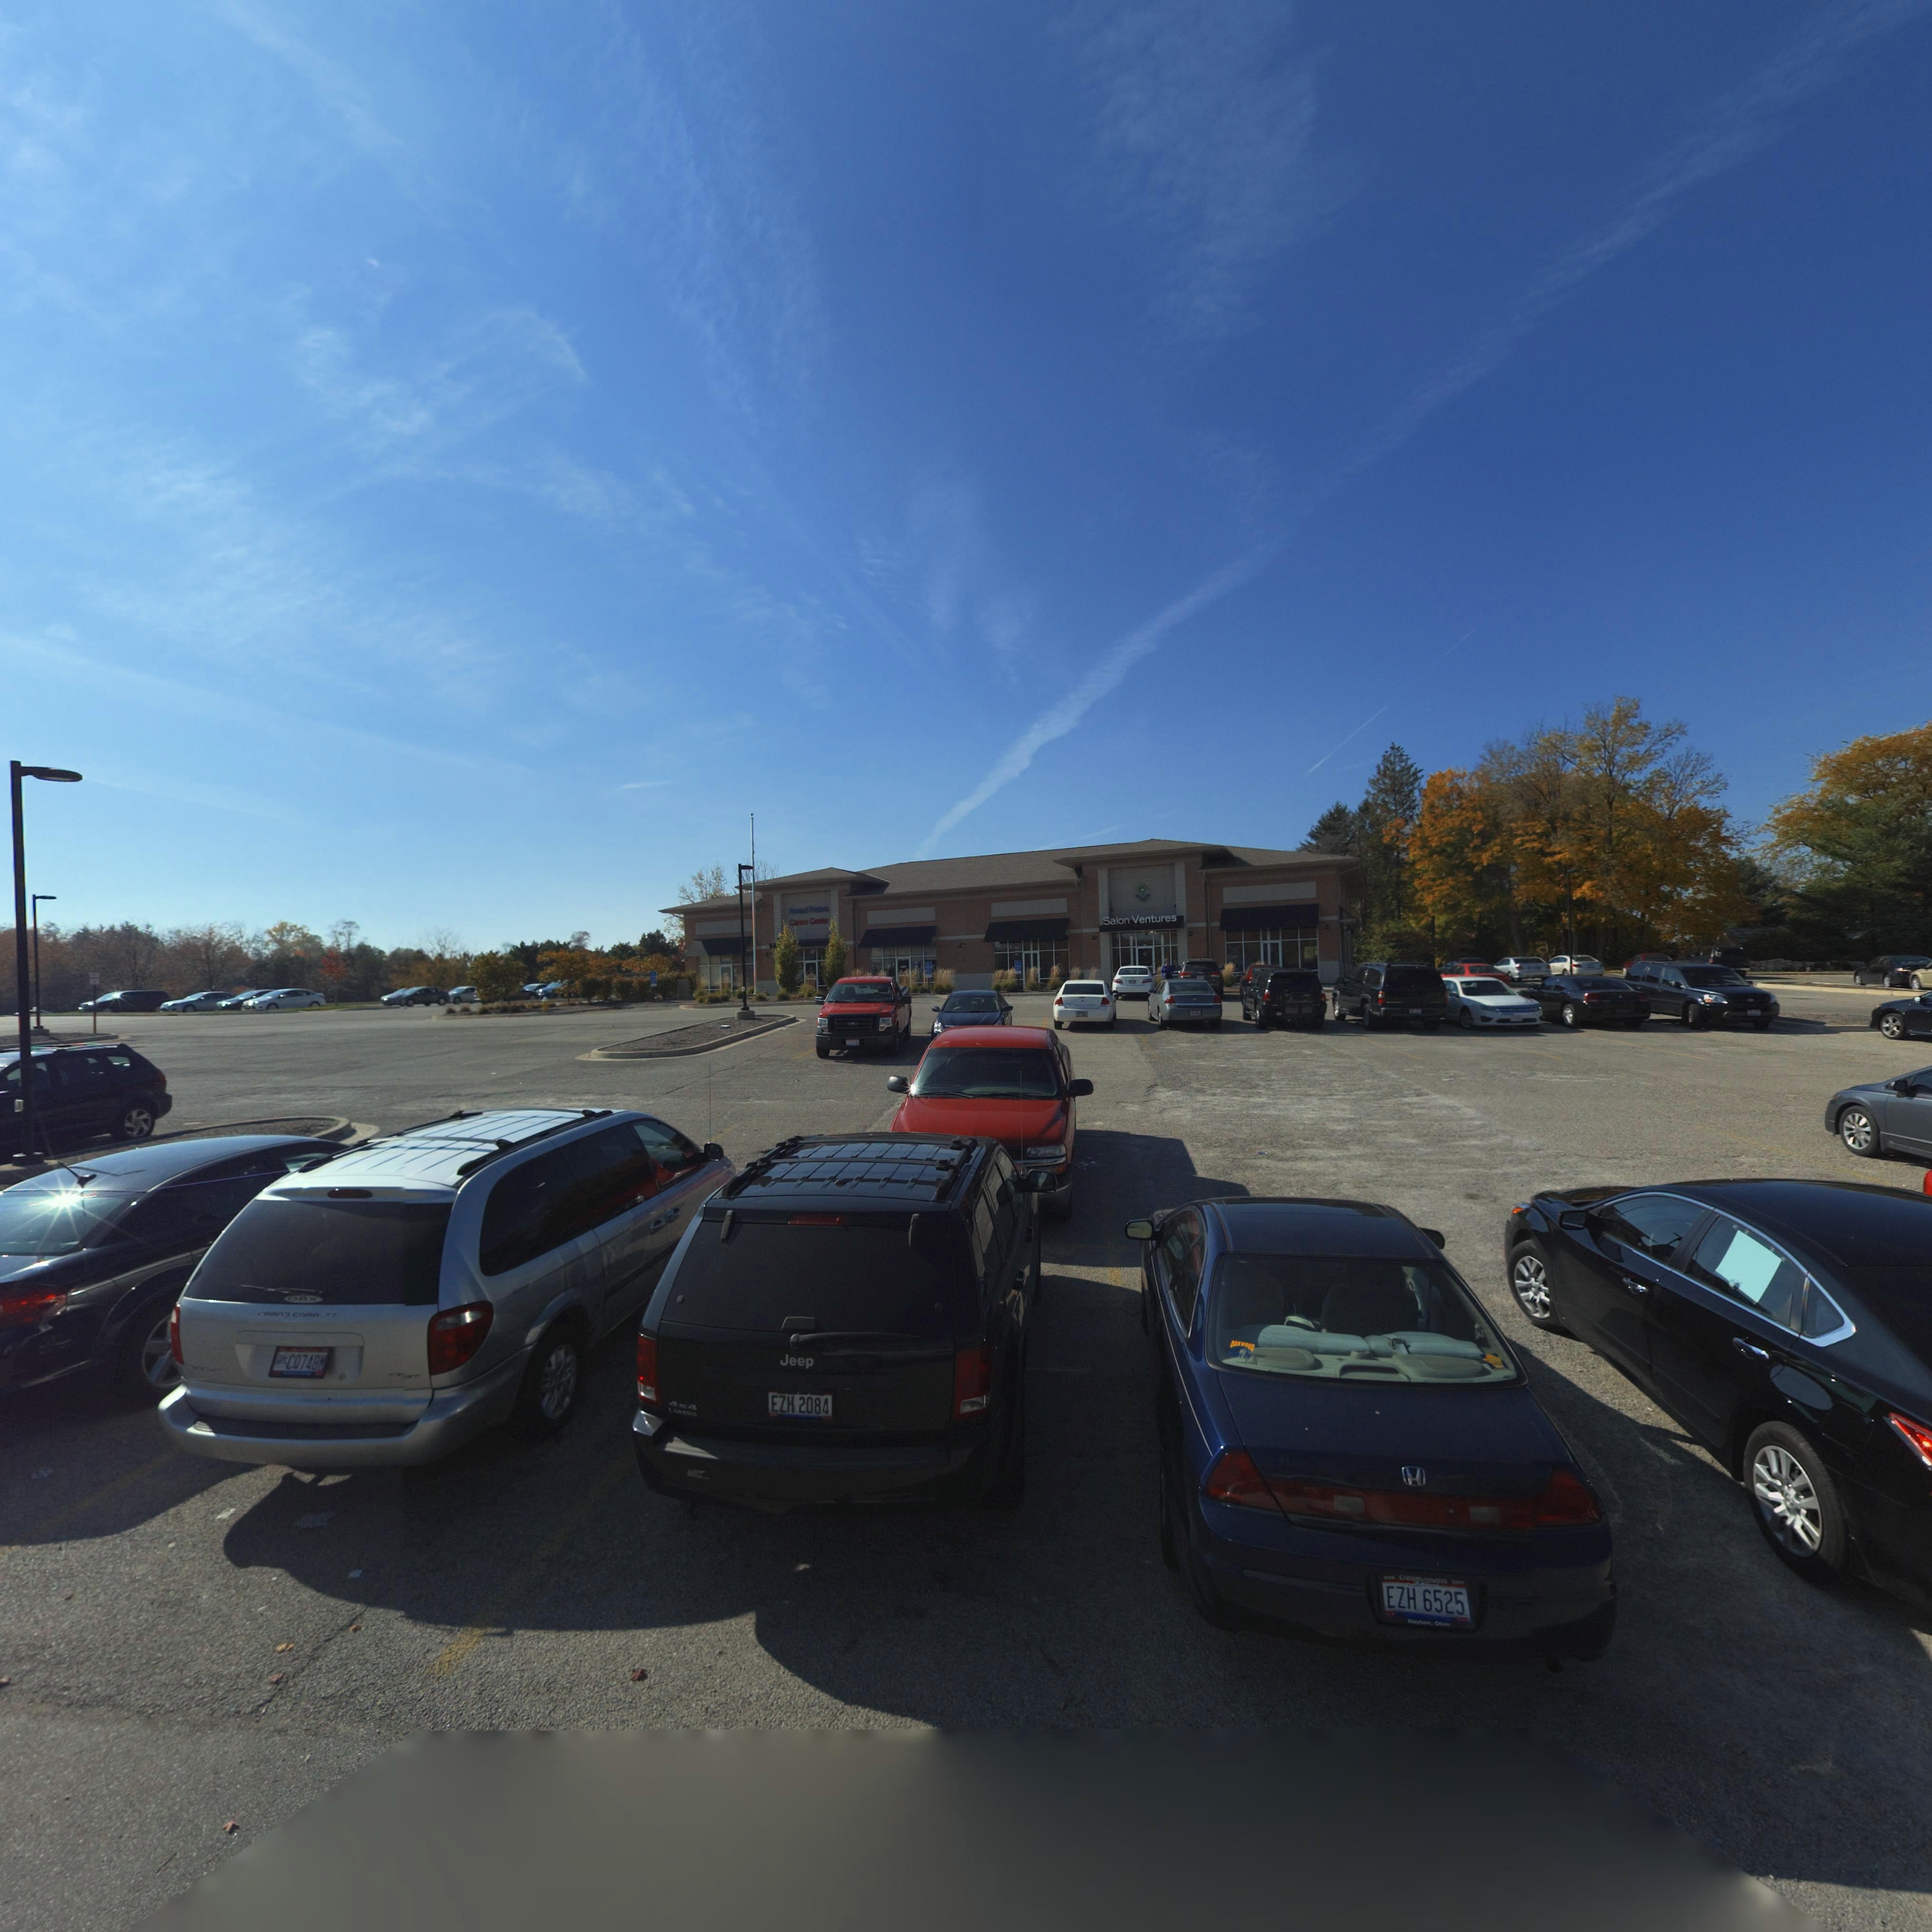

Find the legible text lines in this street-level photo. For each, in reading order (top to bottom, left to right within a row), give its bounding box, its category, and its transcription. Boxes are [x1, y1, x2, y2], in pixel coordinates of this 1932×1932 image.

[809, 916, 815, 925] BusinessName: C
[1102, 914, 1179, 926] BusinessName: Salon Ventures